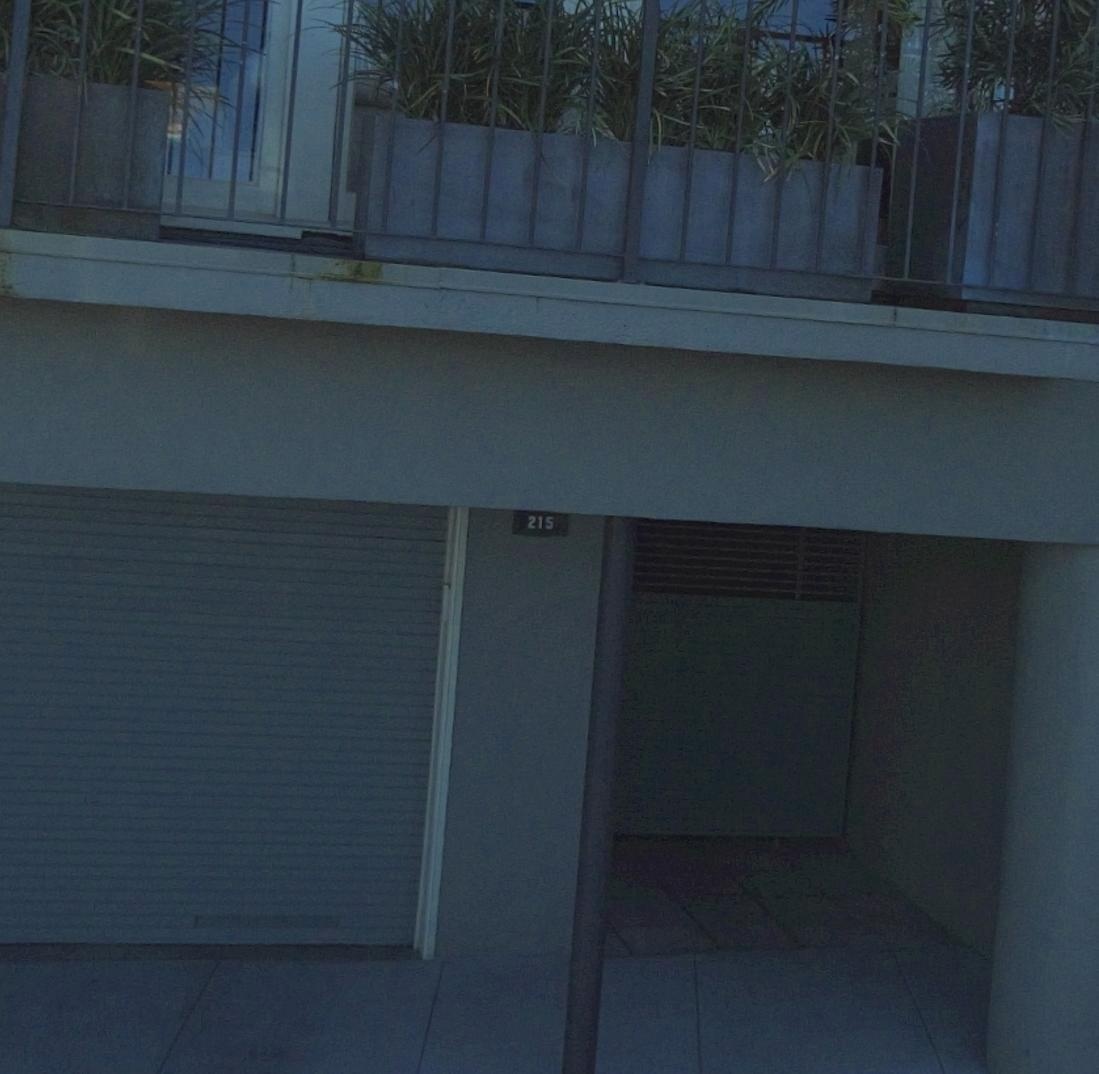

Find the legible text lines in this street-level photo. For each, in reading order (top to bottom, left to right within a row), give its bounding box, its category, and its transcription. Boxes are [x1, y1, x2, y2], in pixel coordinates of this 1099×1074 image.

[527, 515, 555, 530] StreetNumber: 215